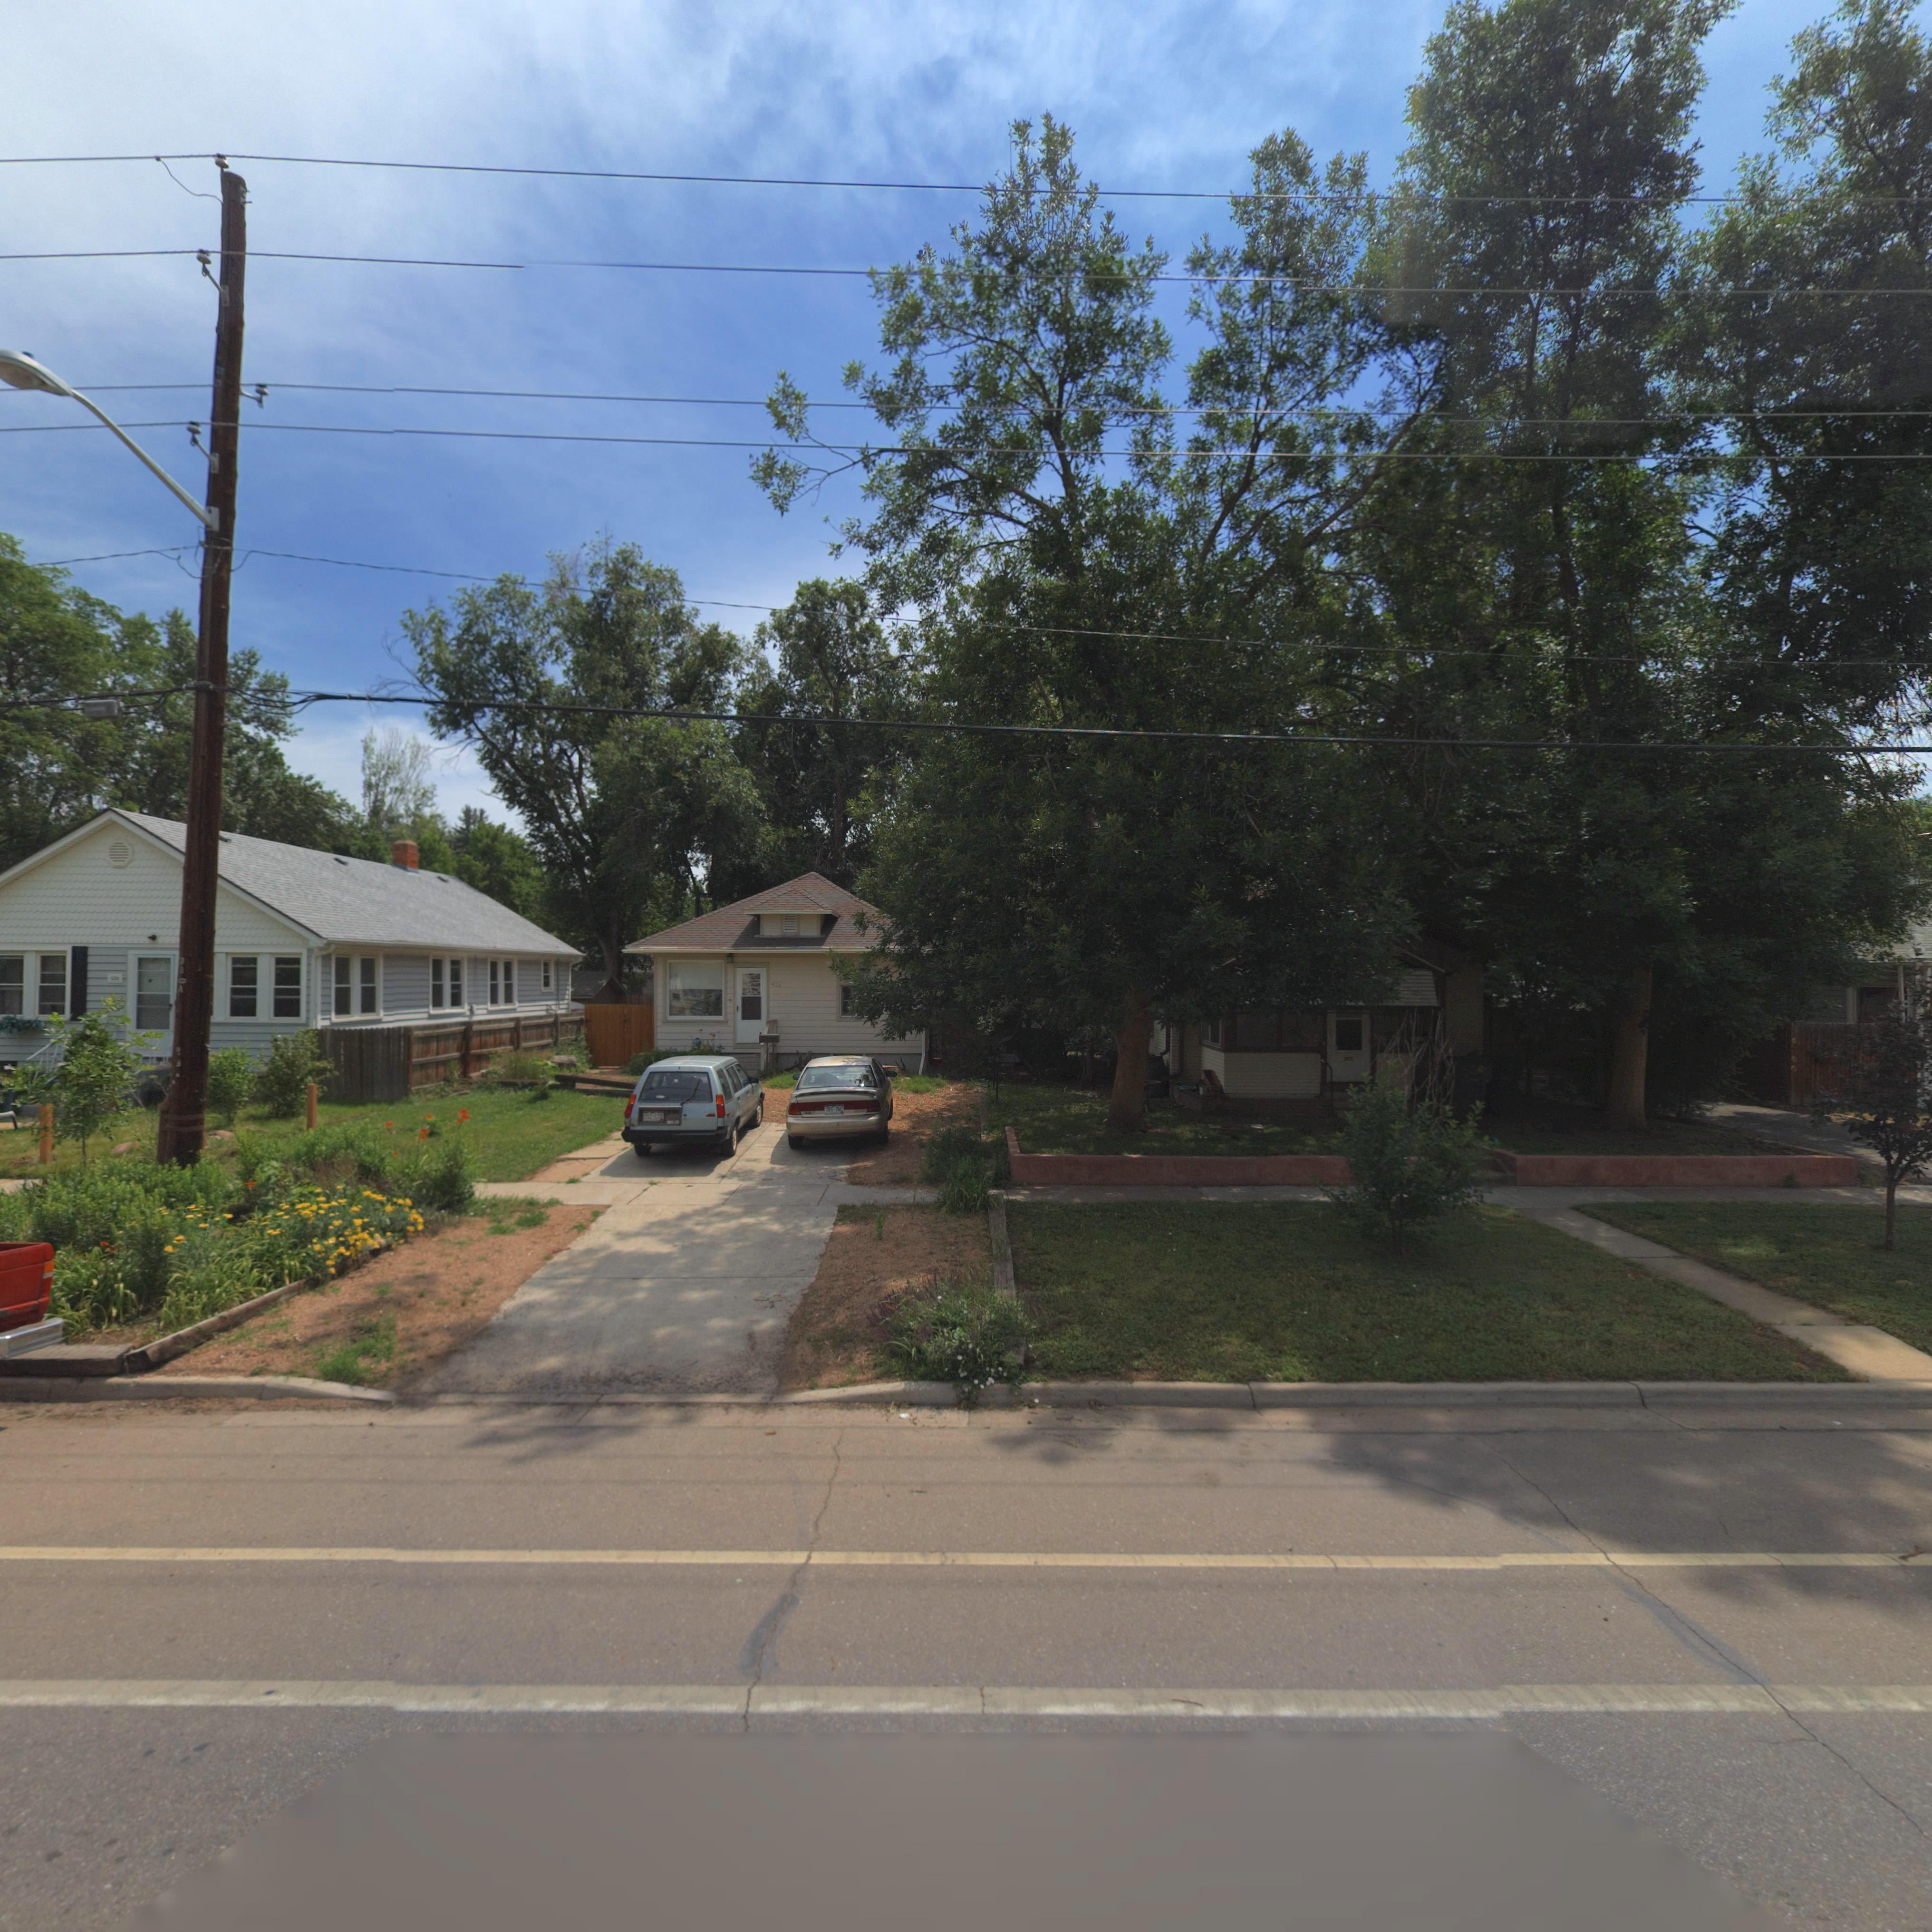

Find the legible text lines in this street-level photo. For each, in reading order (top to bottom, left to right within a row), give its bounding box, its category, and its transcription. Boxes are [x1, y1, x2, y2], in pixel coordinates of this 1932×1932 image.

[770, 981, 782, 987] StreetNumber: 432